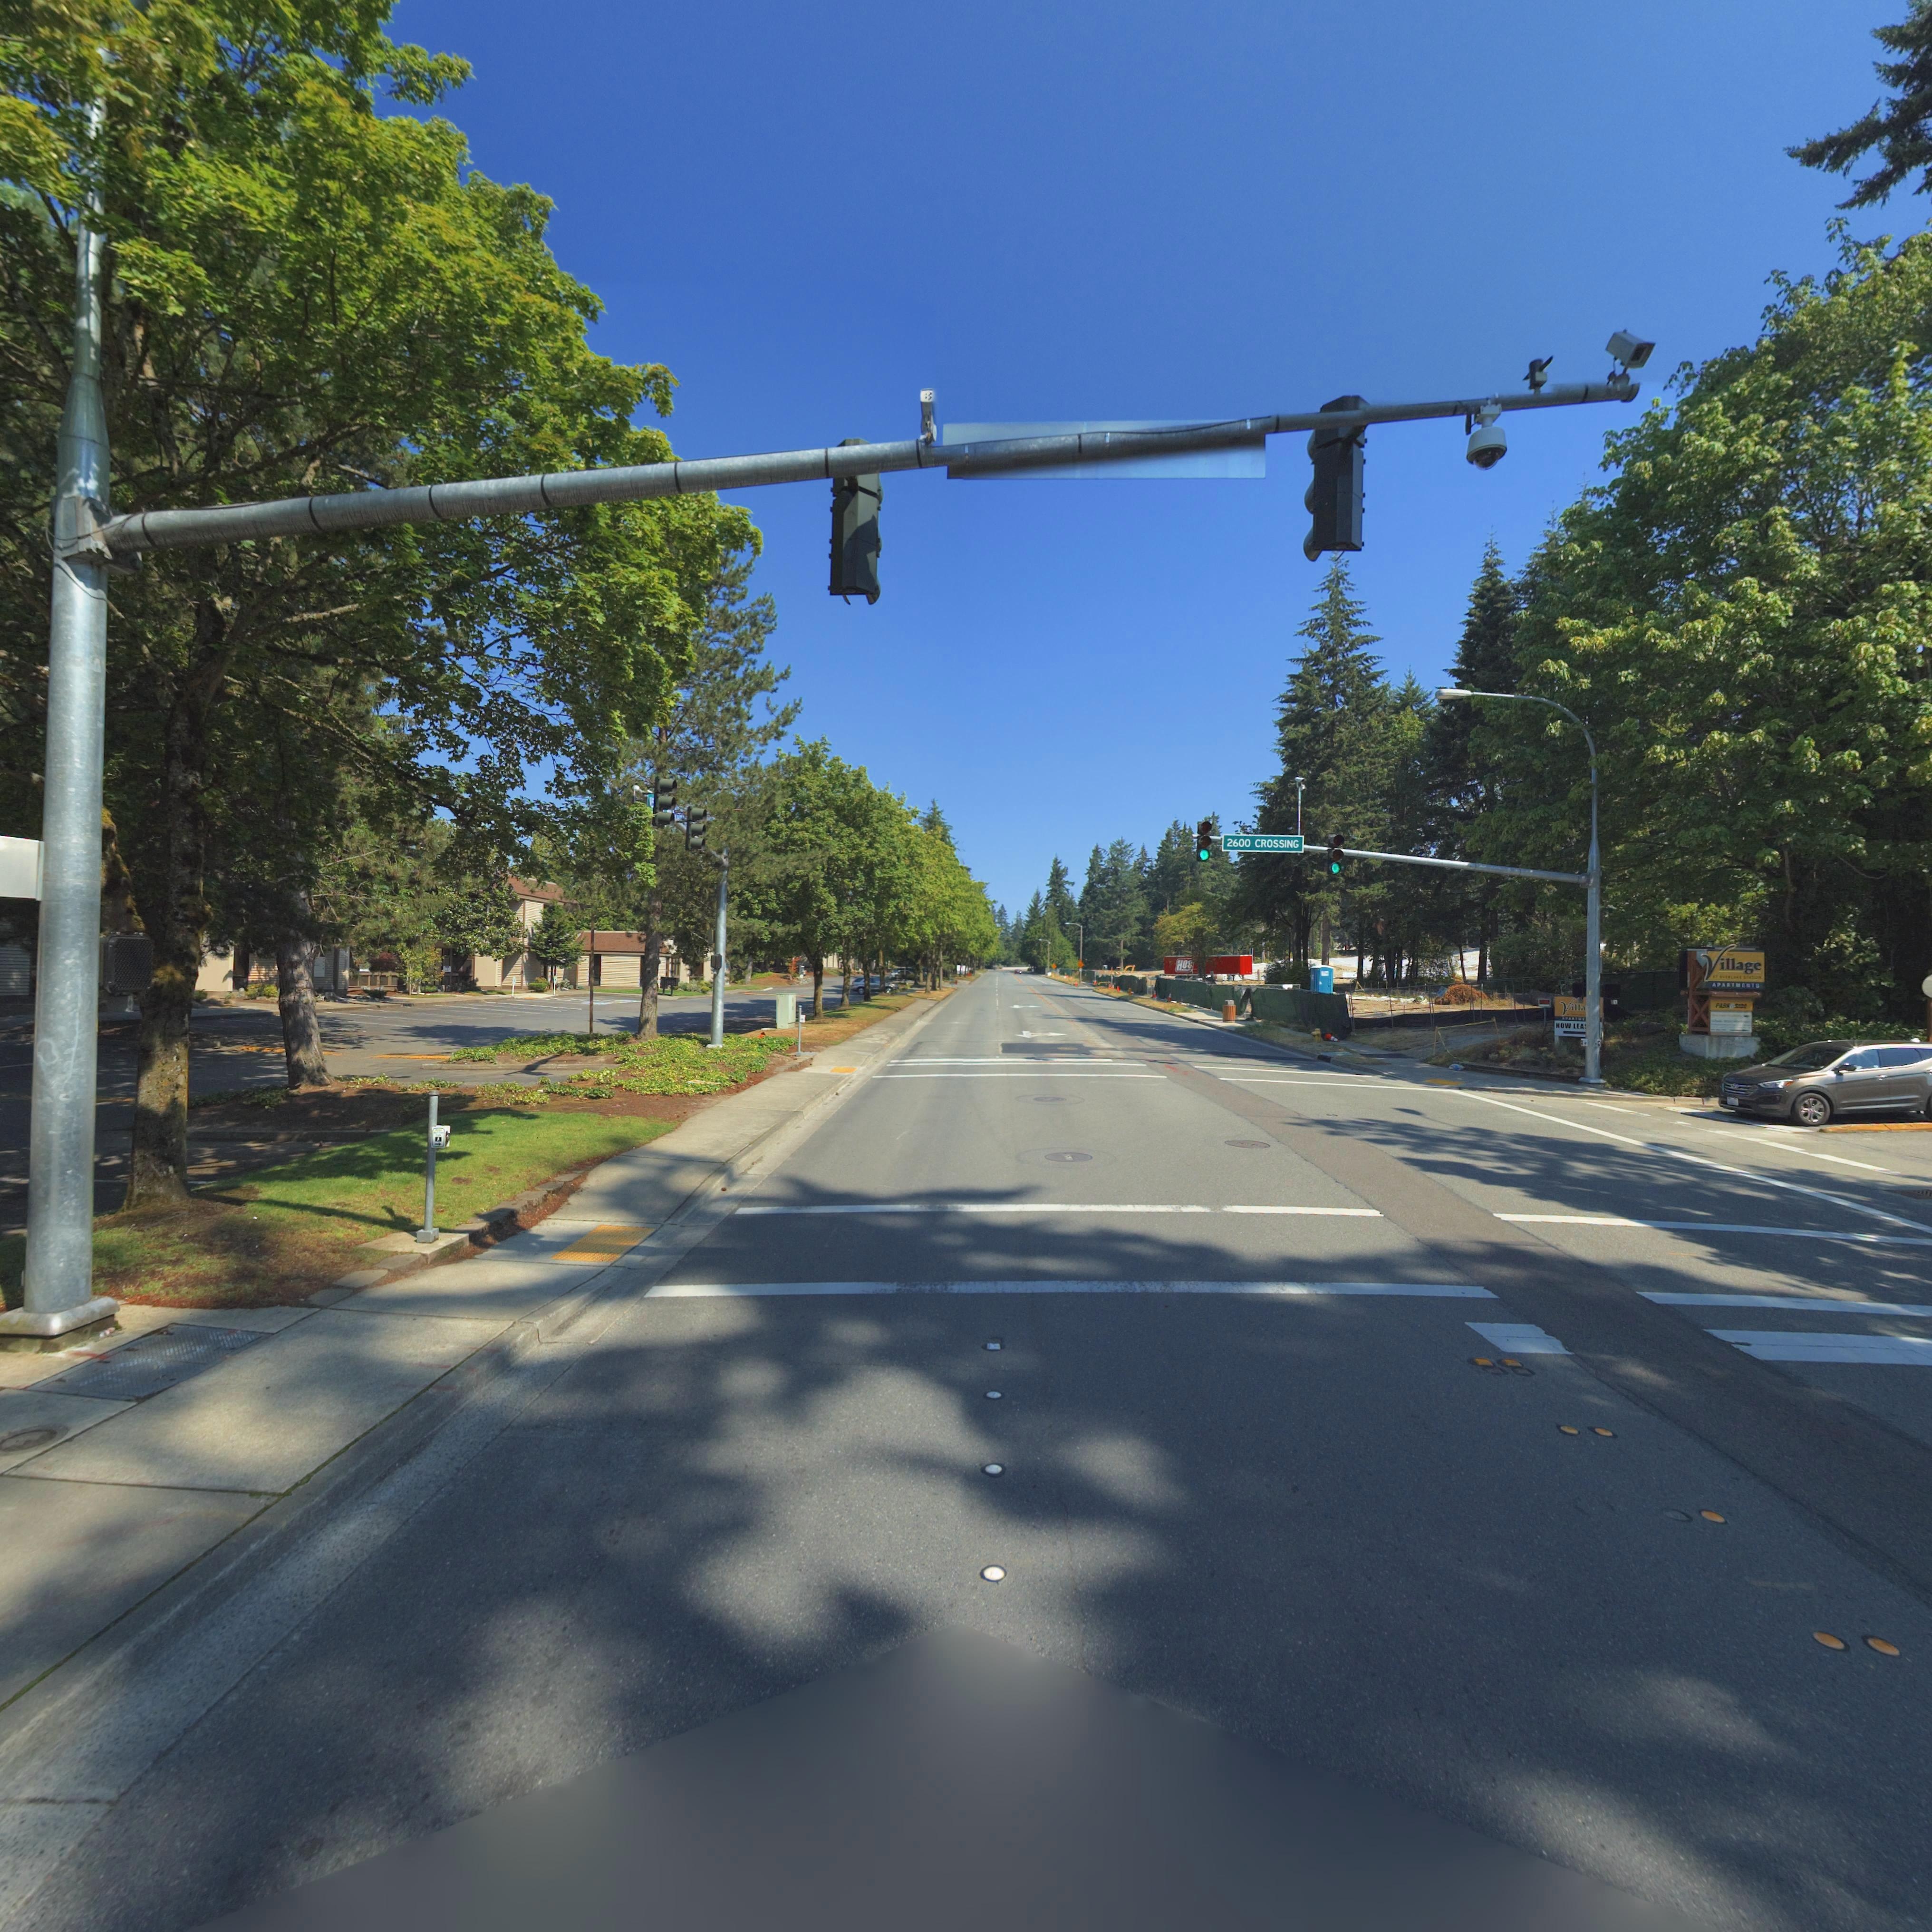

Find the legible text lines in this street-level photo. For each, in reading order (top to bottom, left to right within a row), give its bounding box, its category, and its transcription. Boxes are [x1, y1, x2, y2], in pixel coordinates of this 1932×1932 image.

[1226, 838, 1299, 848] StreetName: 2600 CROSSING